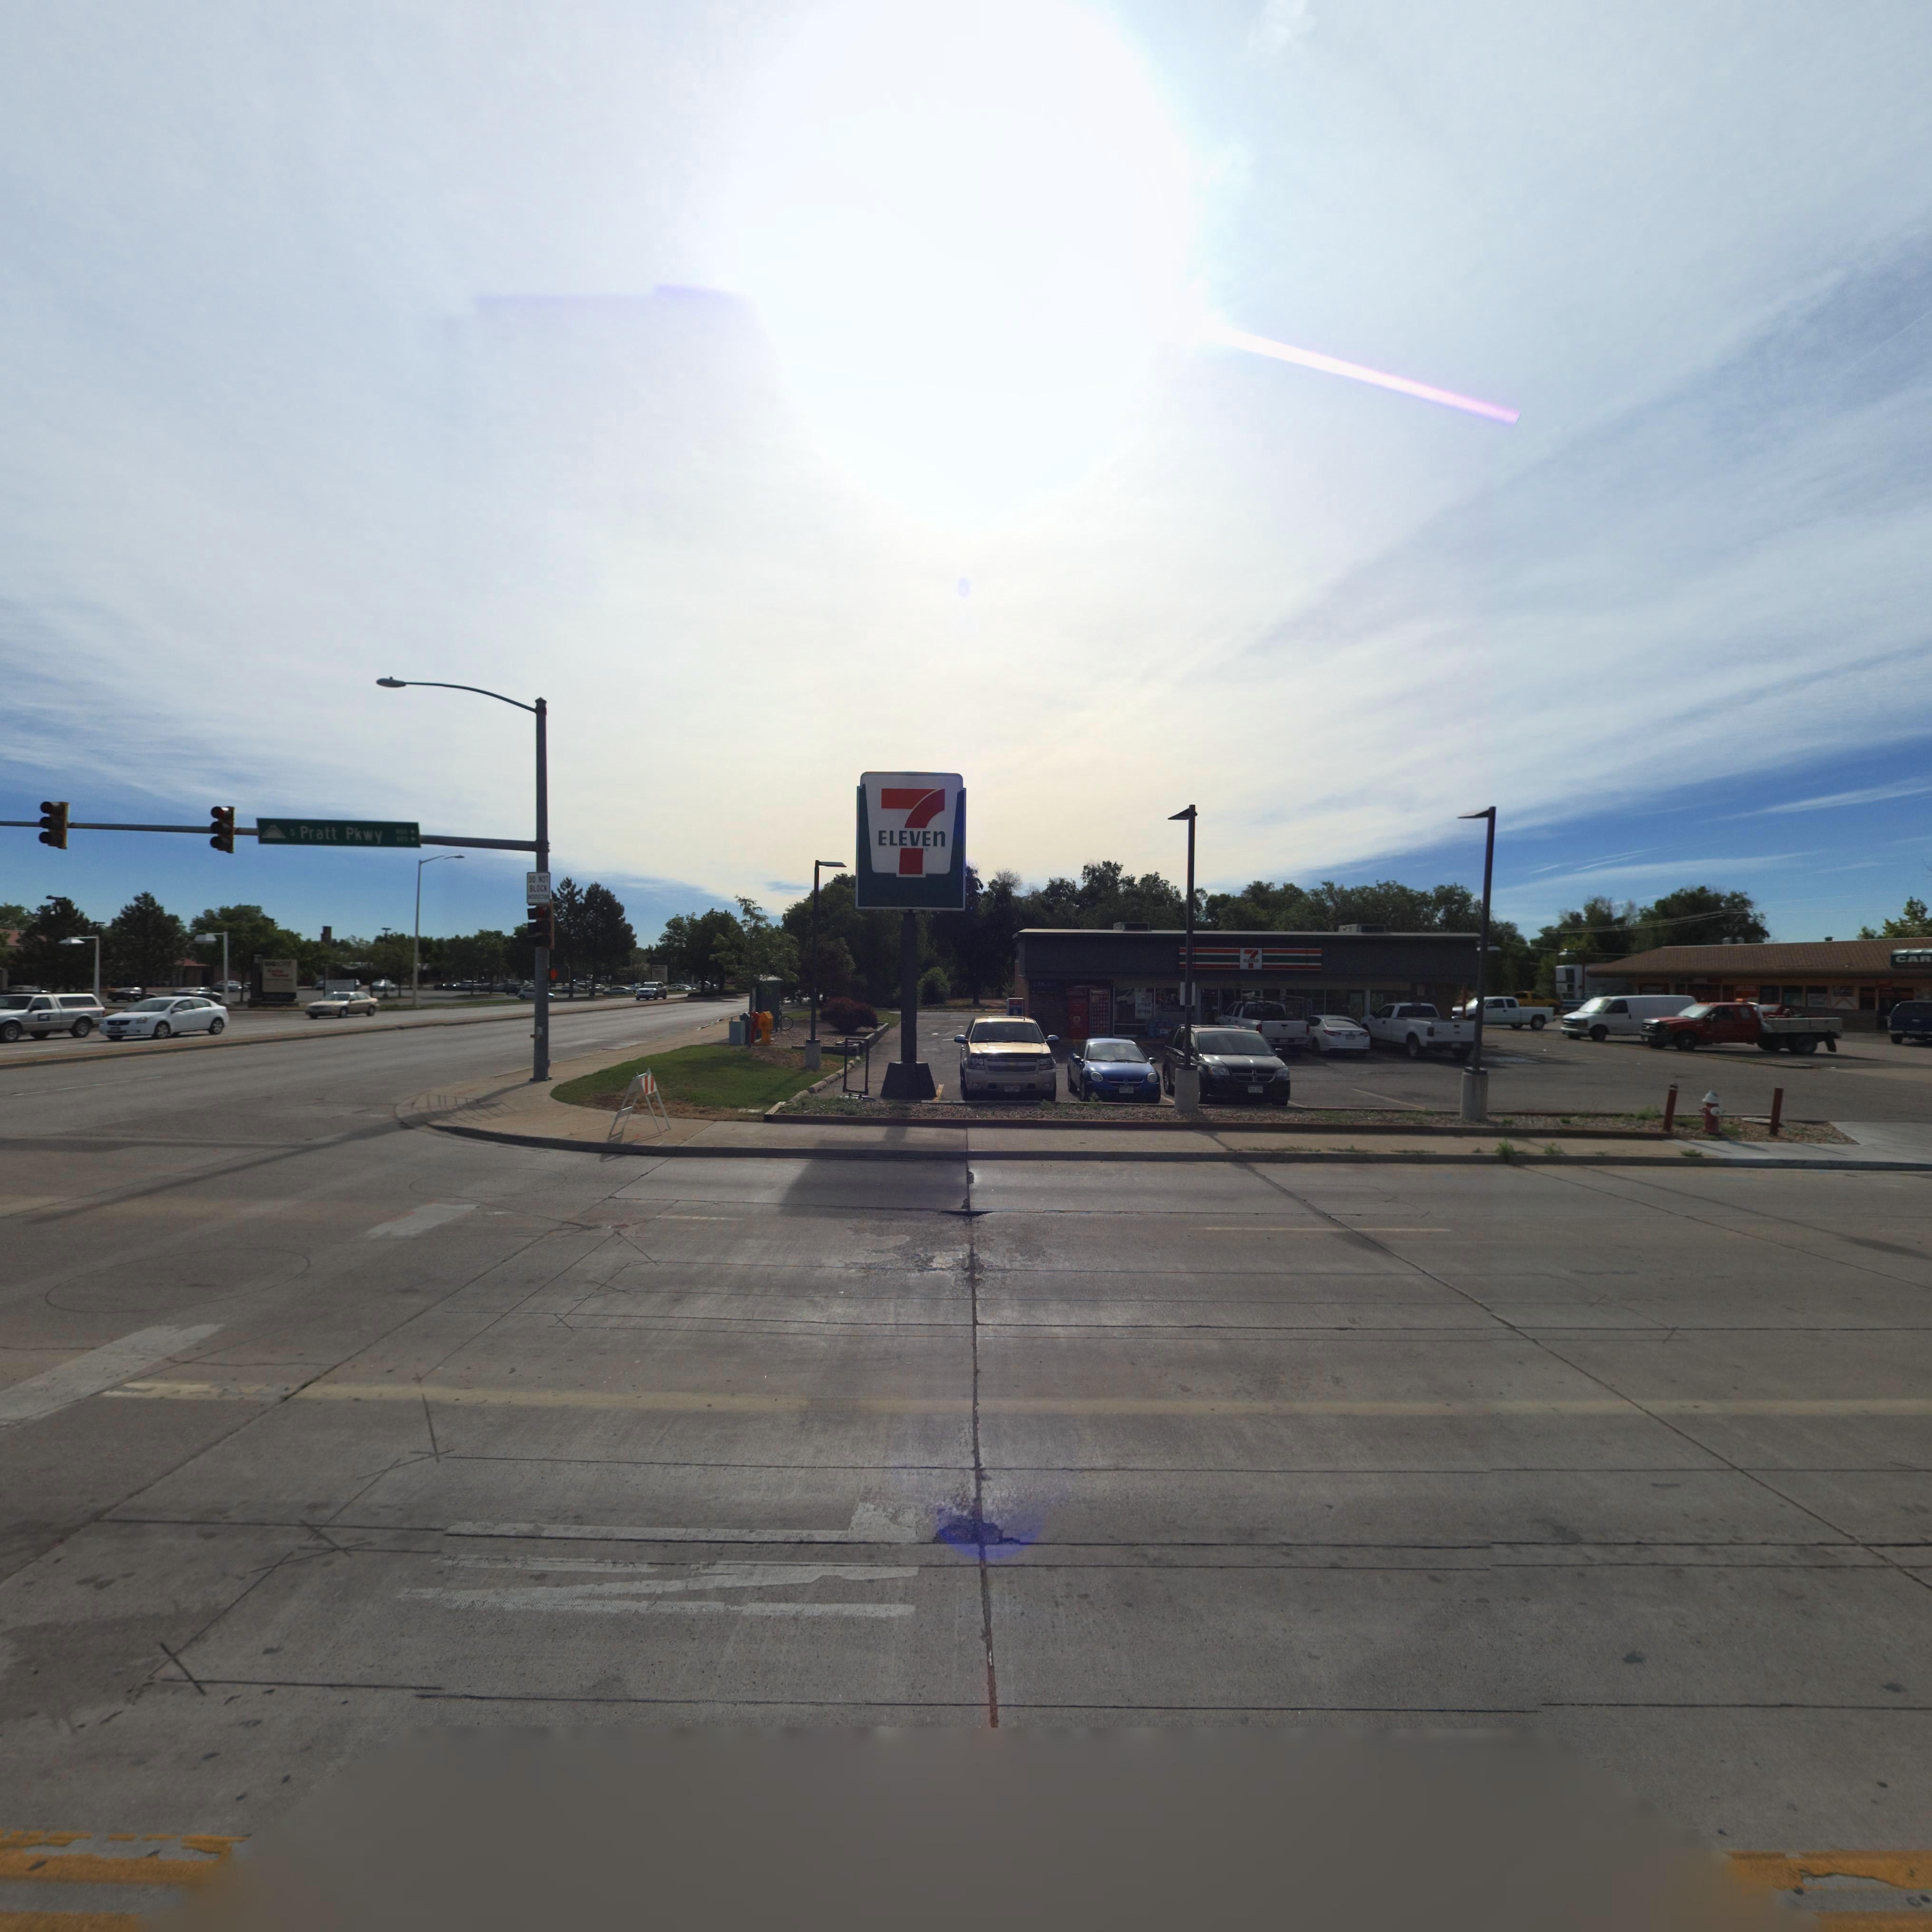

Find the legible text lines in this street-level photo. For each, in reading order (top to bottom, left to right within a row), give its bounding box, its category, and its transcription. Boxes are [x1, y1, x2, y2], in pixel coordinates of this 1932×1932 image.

[289, 825, 383, 845] StreetName: S Pratt Pkwy
[394, 828, 409, 835] StreetNumberRange: *00
[395, 835, 417, 842] StreetNumberRange: *00->
[878, 830, 946, 847] BusinessName: ELEVEN
[880, 787, 946, 875] BusinessName: 7
[263, 960, 292, 967] BusinessName: BIG****
[1243, 958, 1259, 962] BusinessName: ELEVEN
[1244, 949, 1258, 968] BusinessName: 7
[1894, 954, 1931, 963] BusinessName: CAR